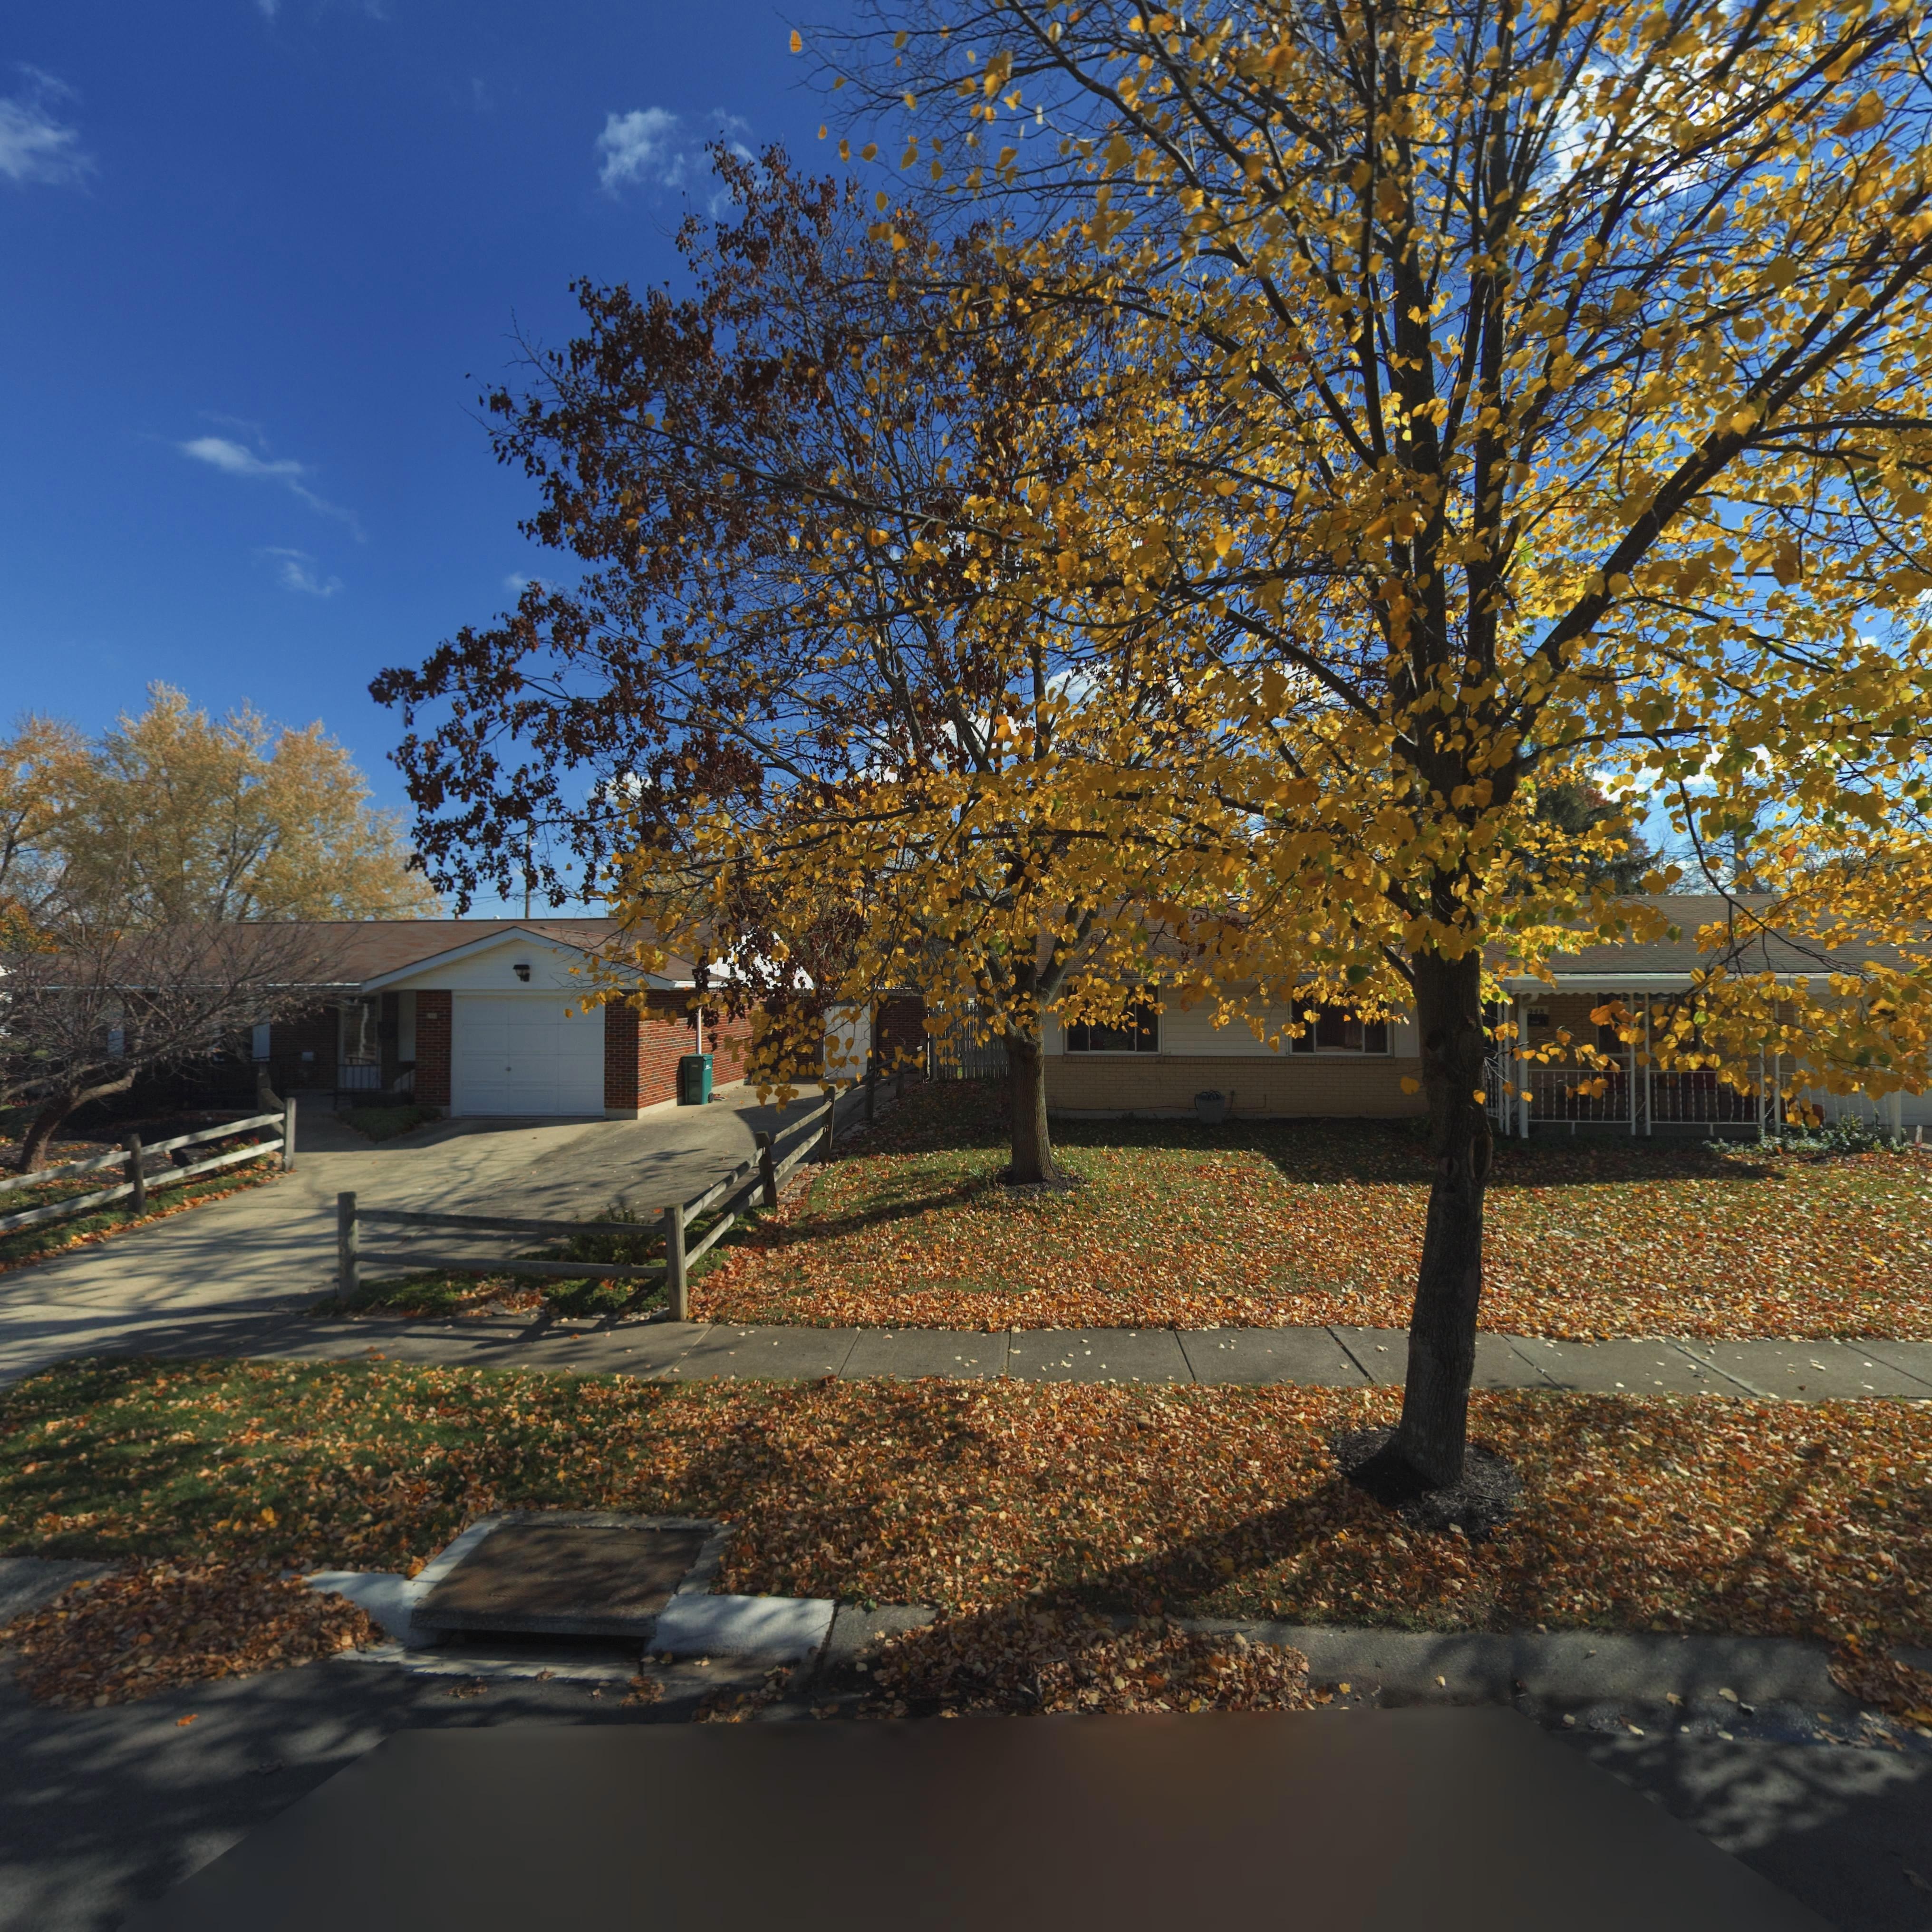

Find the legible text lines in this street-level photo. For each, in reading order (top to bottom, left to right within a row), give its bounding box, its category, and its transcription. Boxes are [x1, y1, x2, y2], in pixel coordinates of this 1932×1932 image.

[1526, 1007, 1546, 1015] StreetNumber: 948